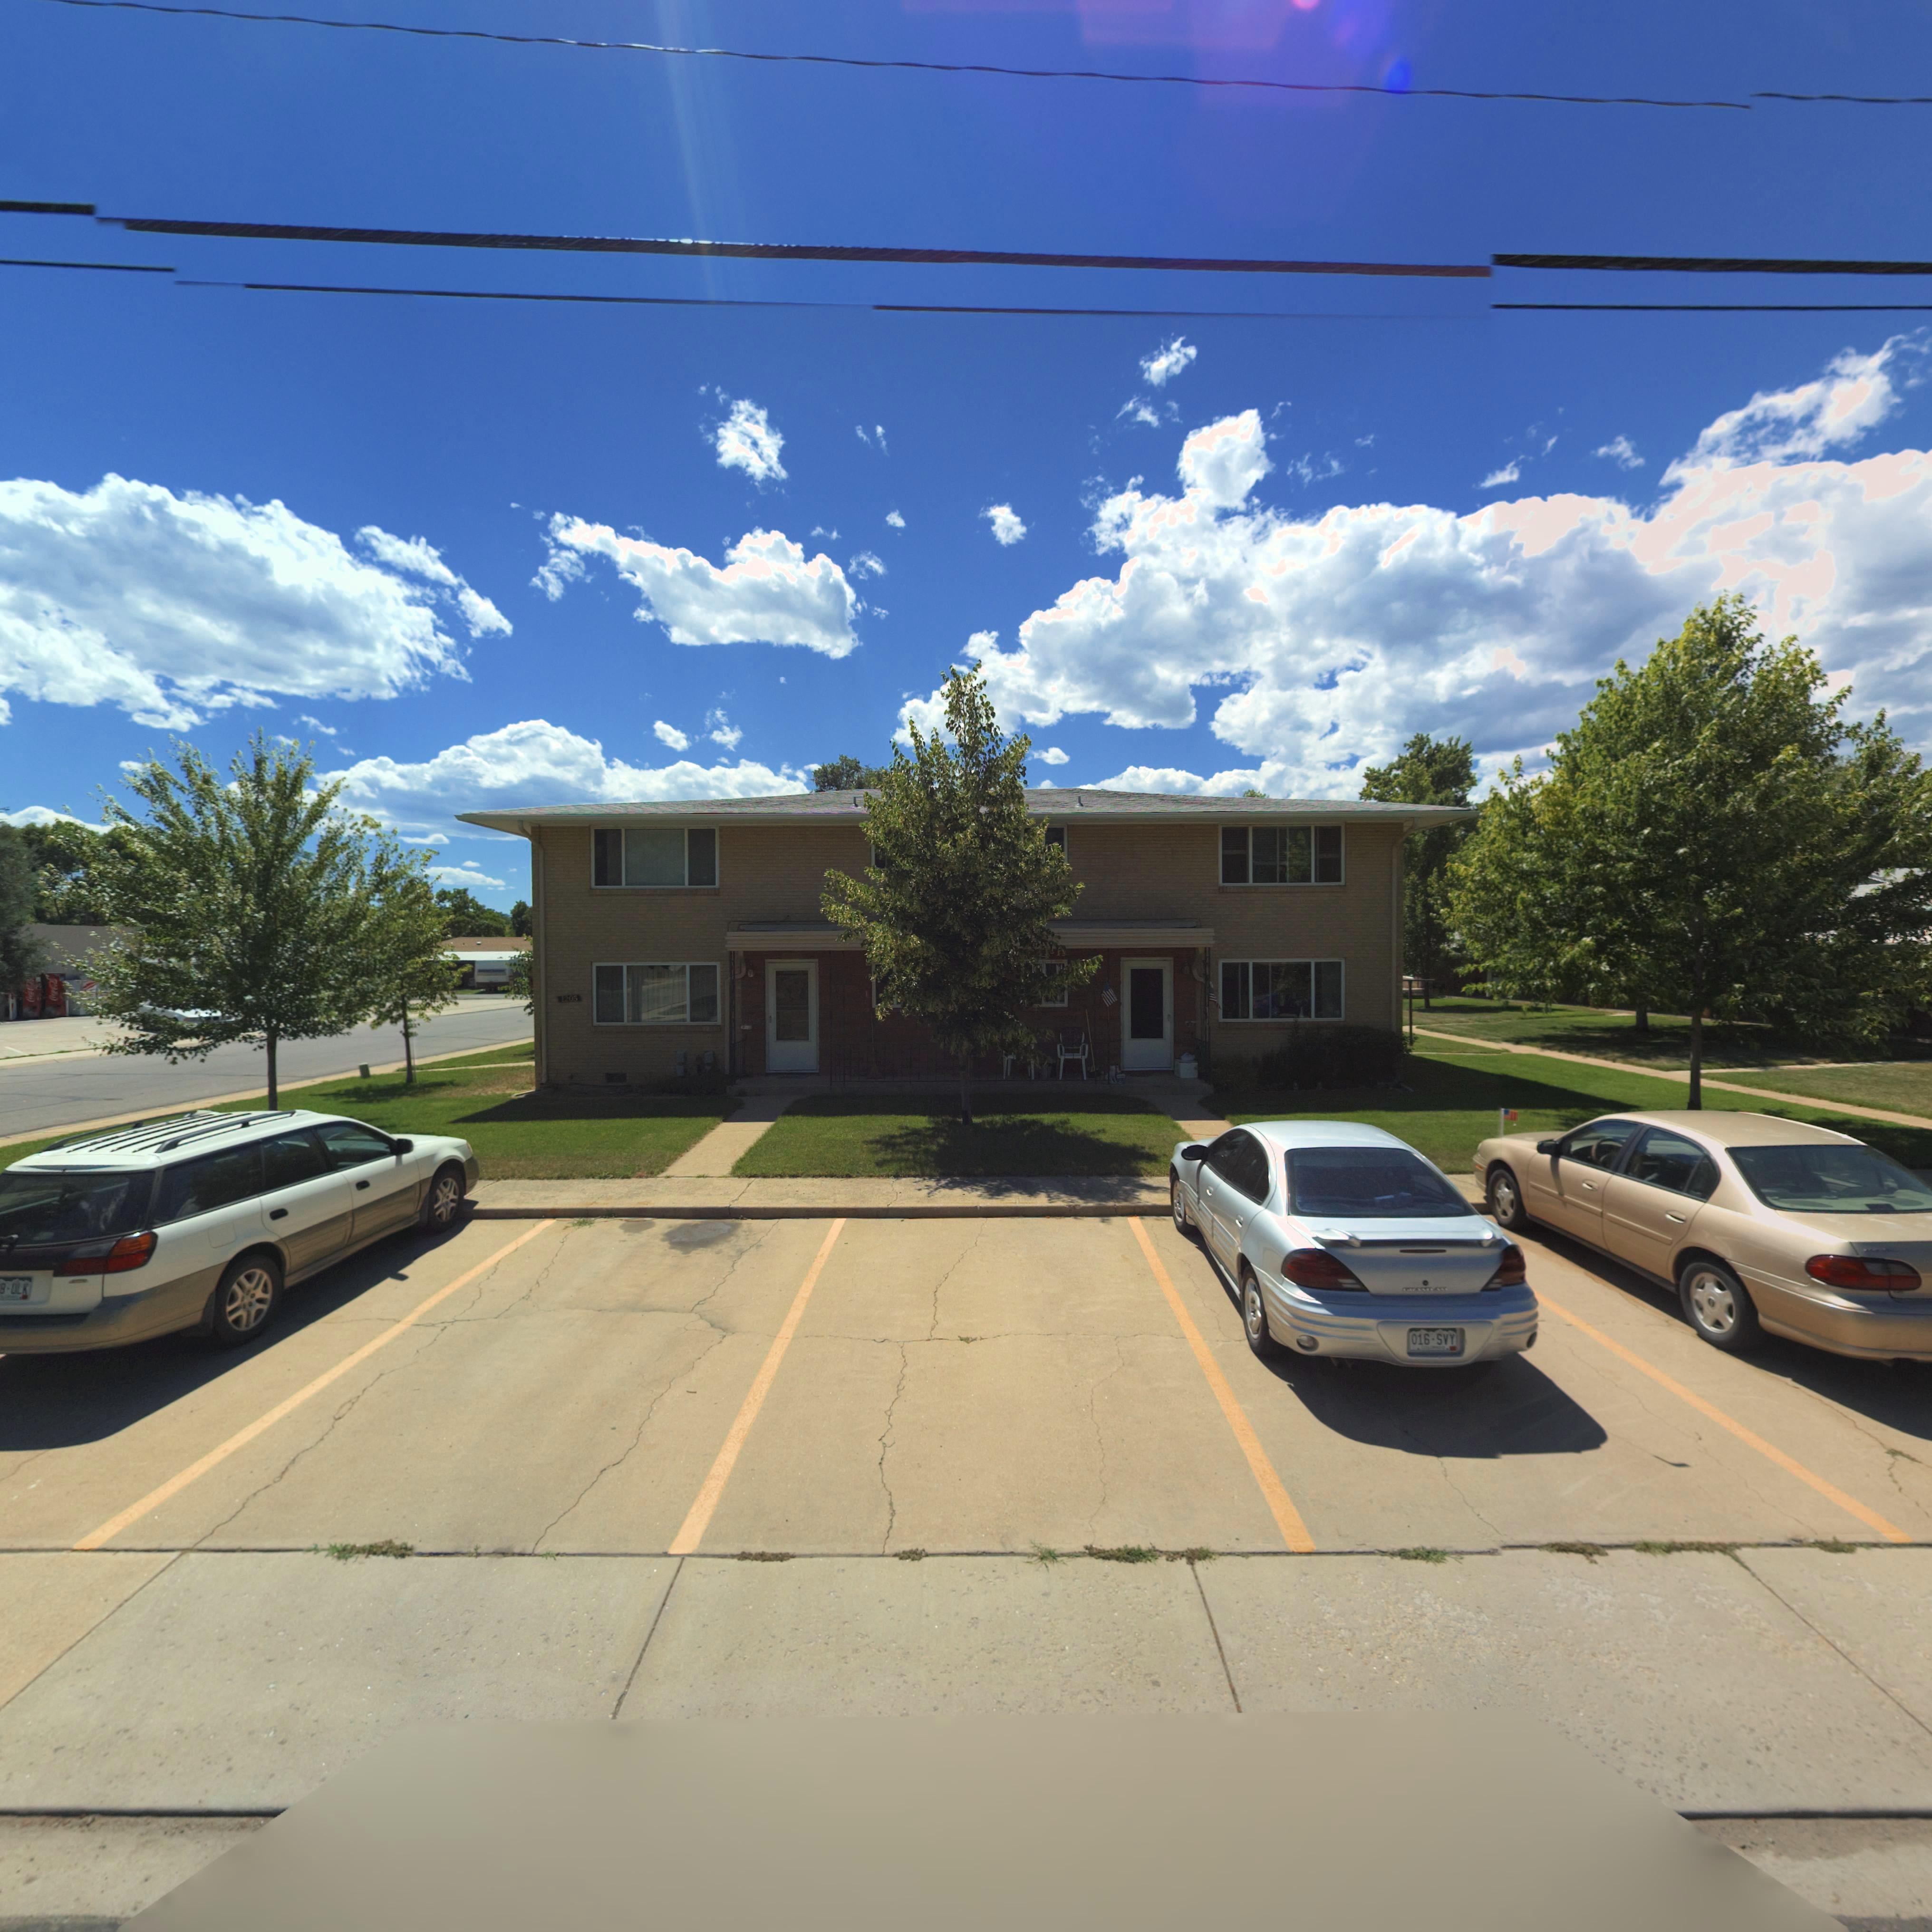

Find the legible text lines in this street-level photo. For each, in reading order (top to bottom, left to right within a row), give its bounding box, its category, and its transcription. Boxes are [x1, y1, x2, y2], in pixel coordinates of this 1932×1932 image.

[561, 995, 578, 1003] StreetNumber: 1205